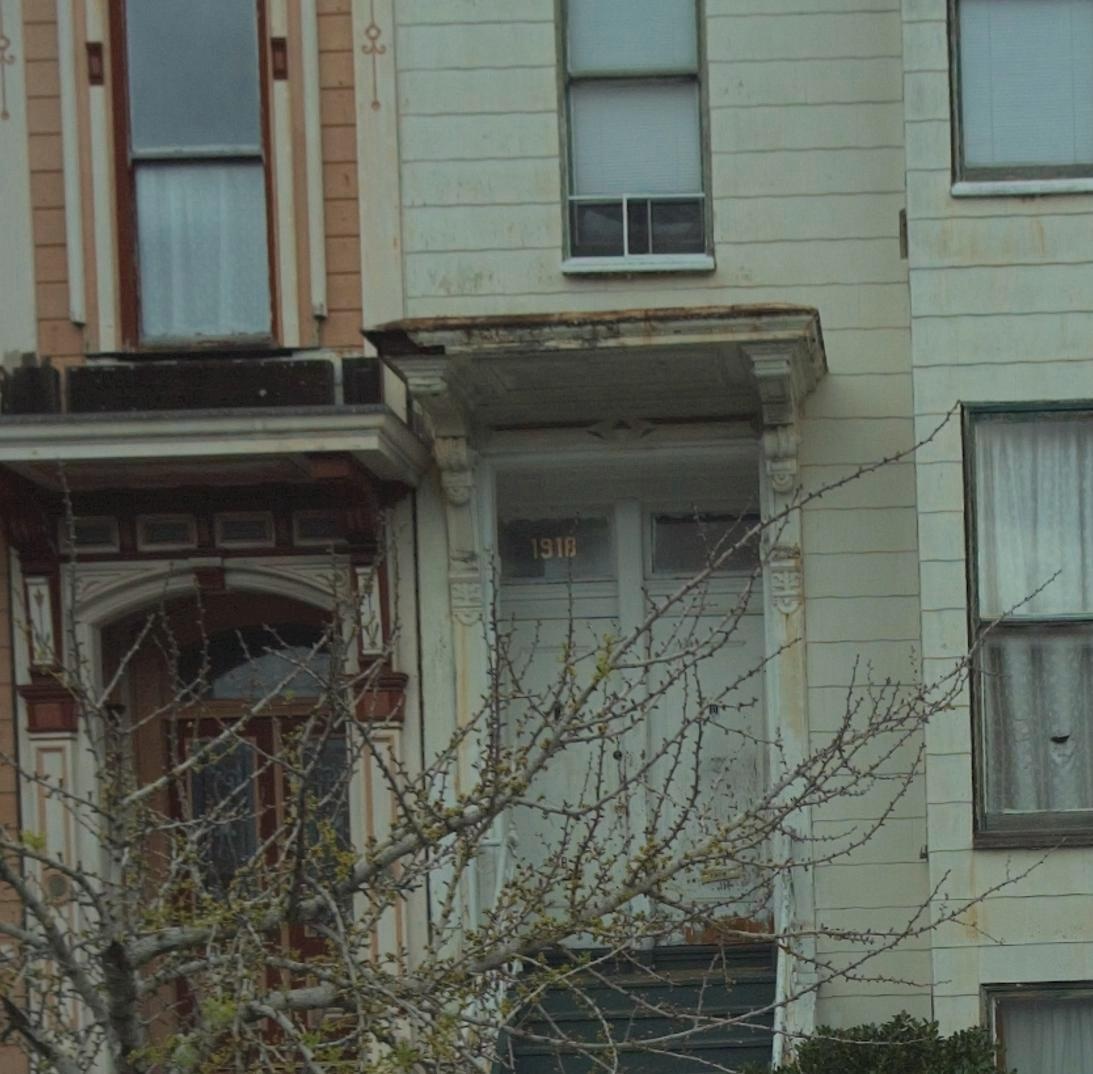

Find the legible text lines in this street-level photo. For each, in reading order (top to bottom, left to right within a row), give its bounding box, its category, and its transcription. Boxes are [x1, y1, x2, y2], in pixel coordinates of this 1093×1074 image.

[528, 534, 578, 562] StreetNumber: 1918